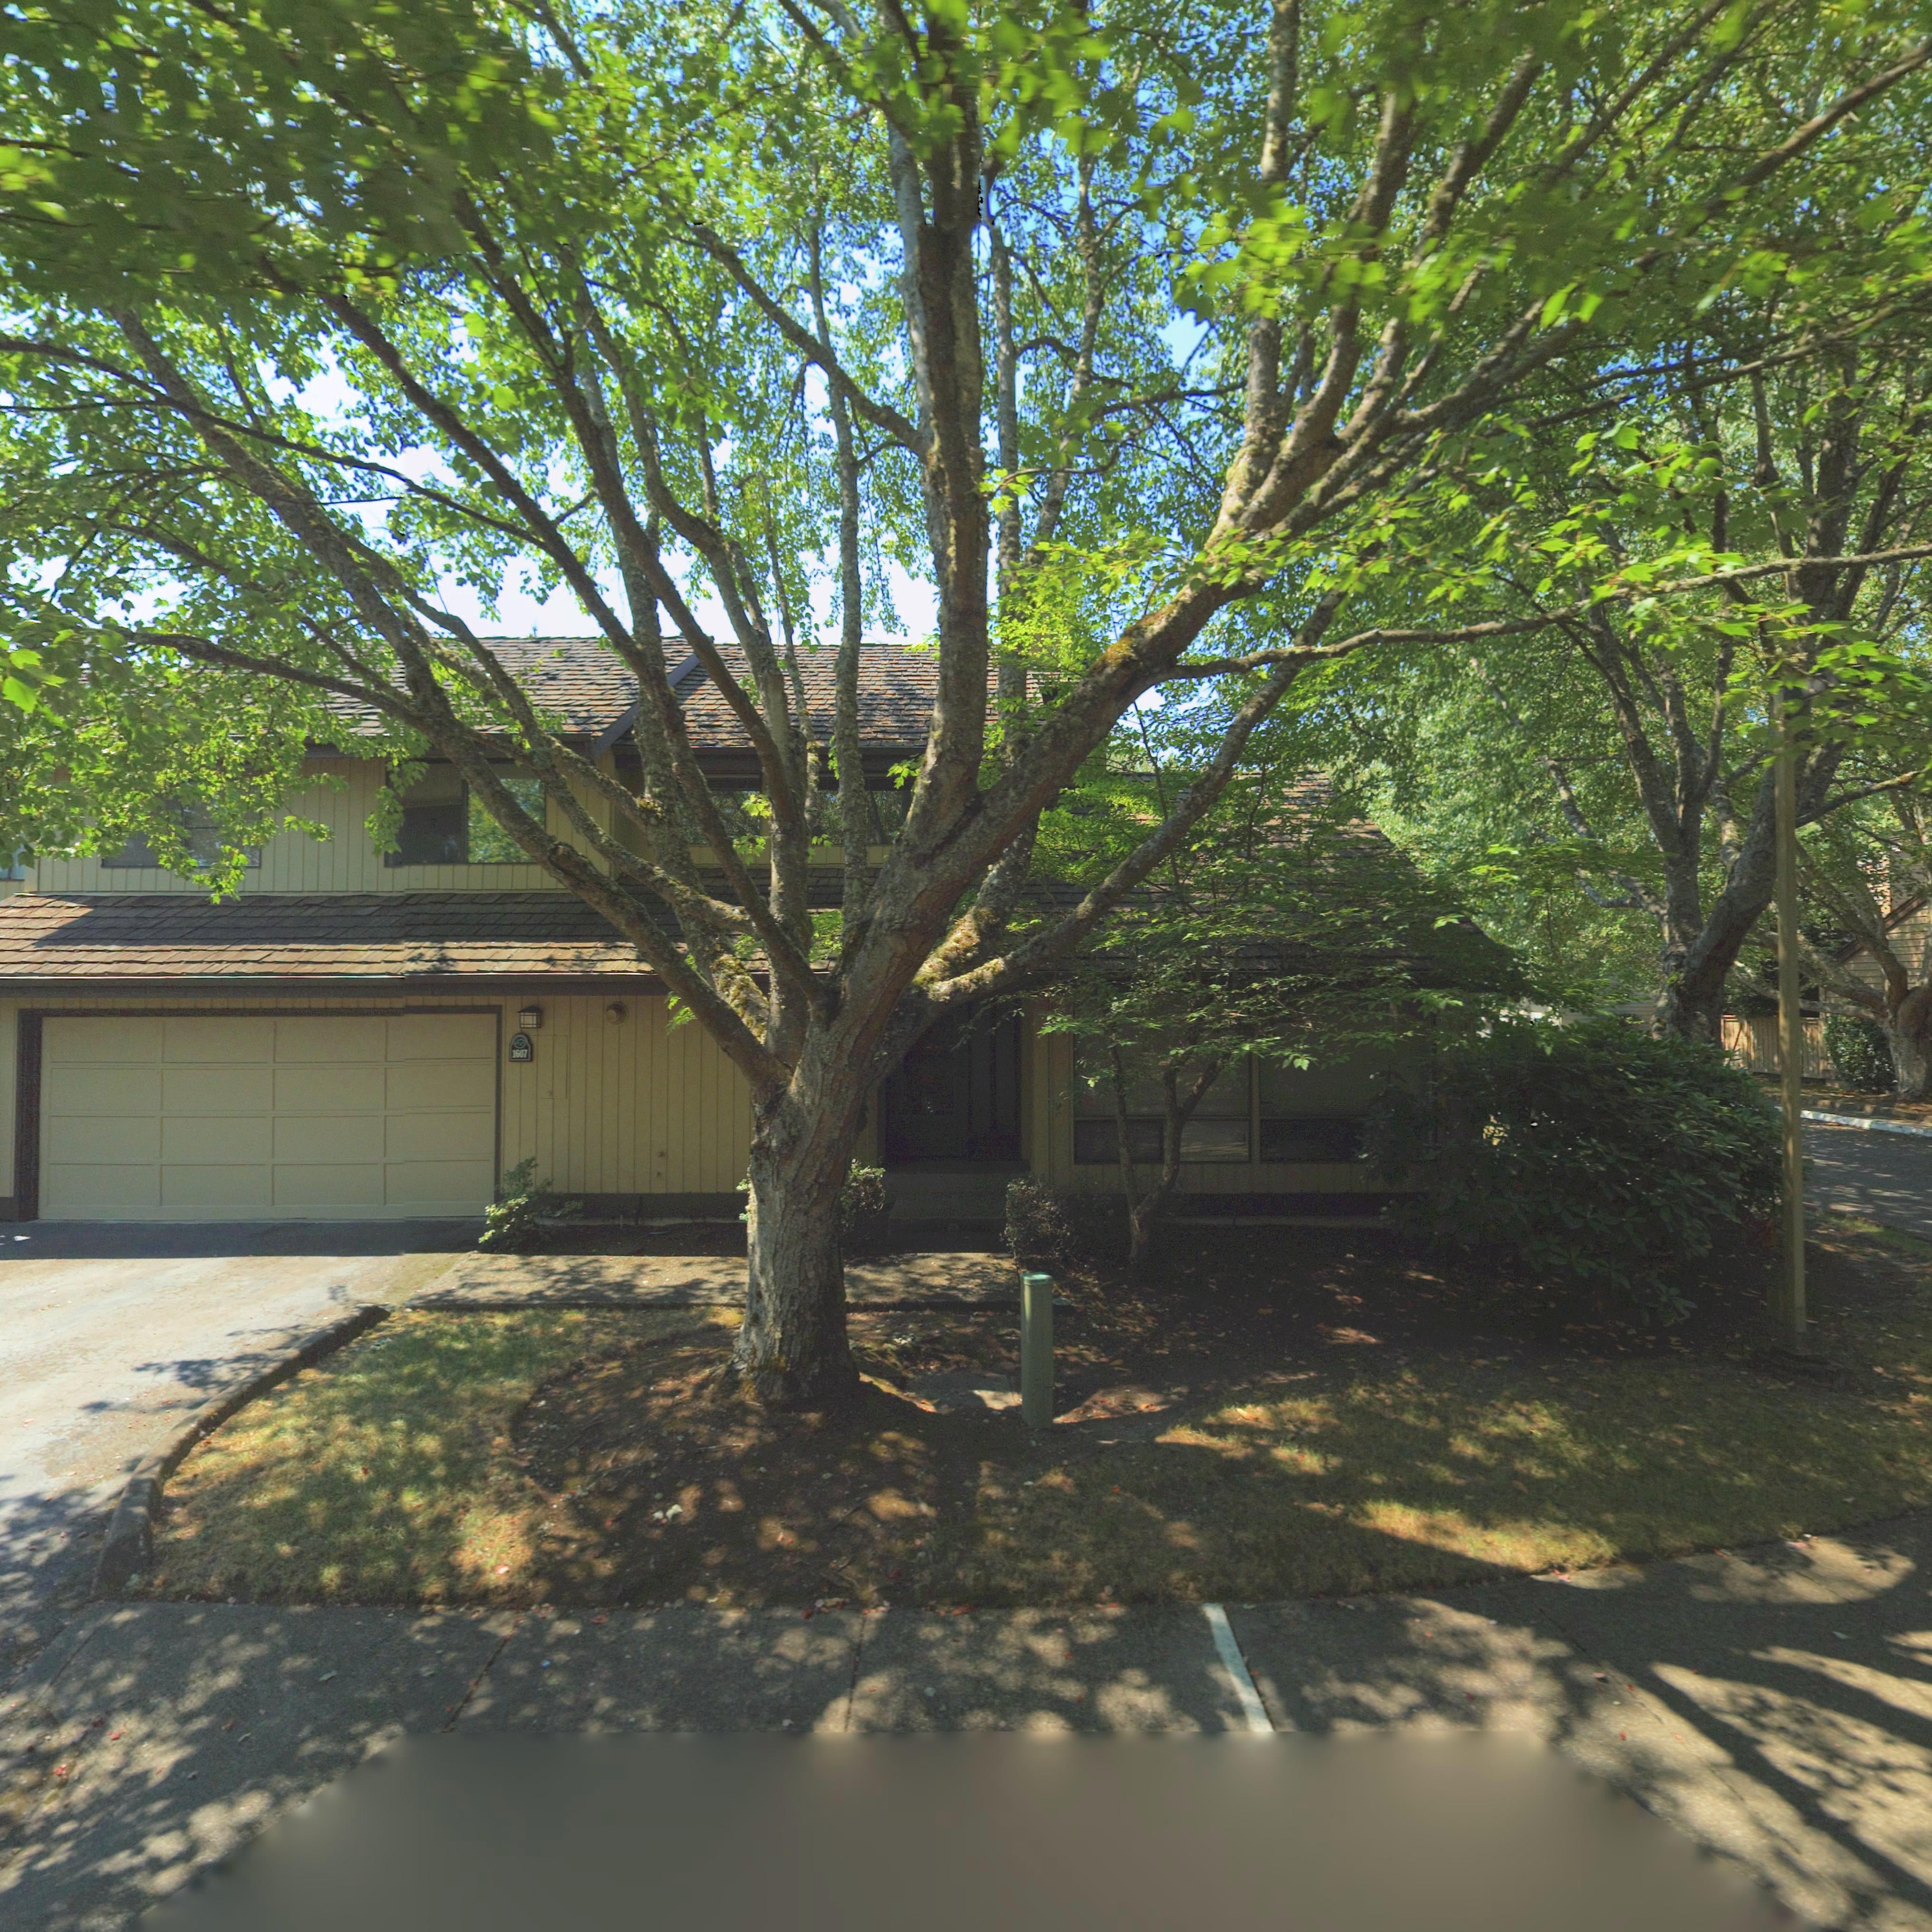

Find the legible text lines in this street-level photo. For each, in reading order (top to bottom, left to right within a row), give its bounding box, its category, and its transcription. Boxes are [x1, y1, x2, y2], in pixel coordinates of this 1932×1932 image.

[511, 1049, 529, 1058] StreetNumber: 1607